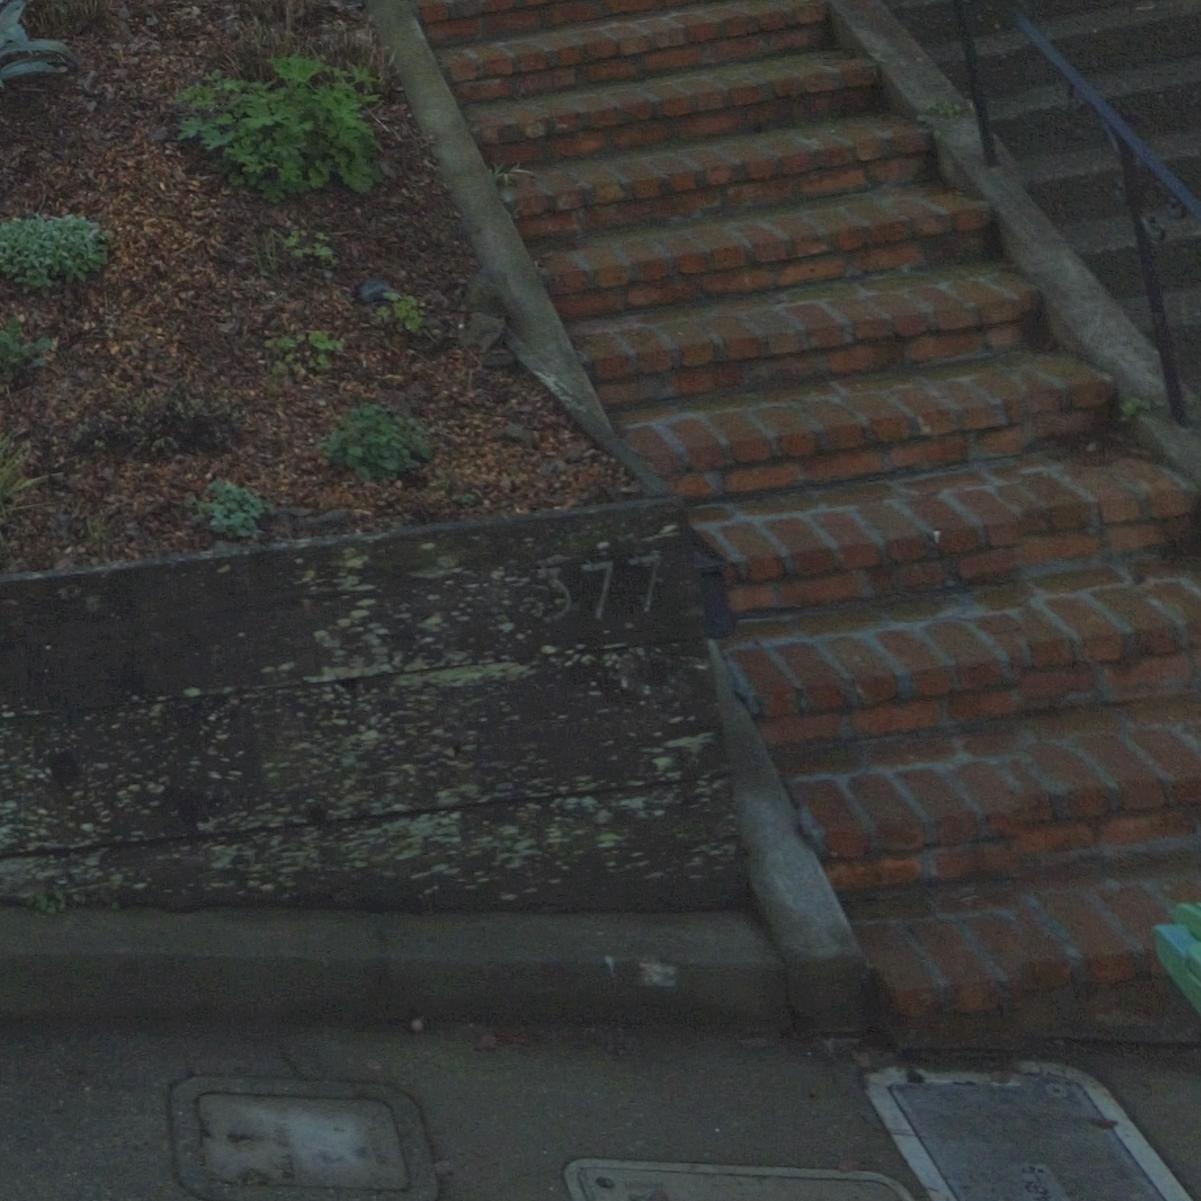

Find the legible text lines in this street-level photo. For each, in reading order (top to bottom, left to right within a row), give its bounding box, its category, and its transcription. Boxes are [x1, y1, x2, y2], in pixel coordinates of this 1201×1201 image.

[528, 553, 664, 627] StreetNumber: 377